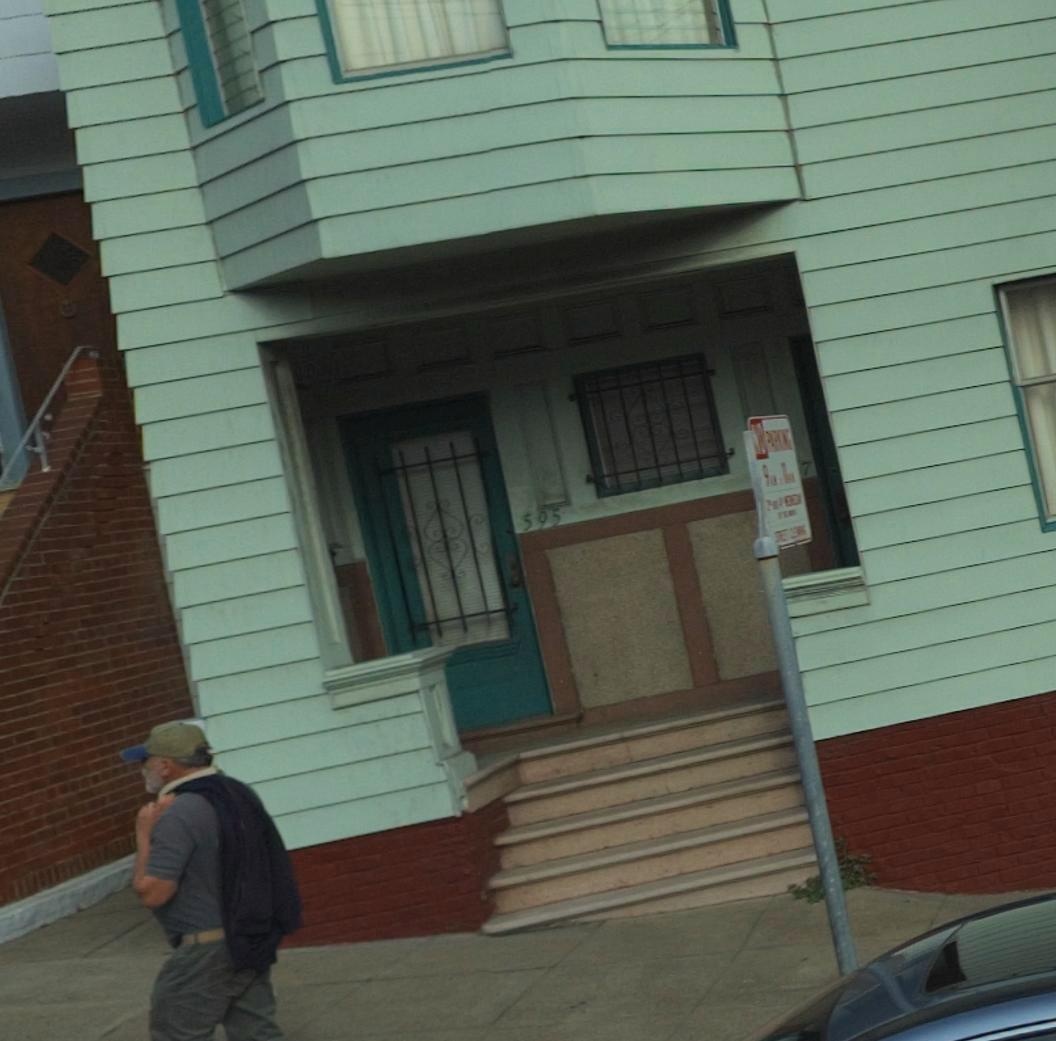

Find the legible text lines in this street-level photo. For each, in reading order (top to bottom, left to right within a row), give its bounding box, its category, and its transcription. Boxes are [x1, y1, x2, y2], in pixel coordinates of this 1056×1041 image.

[750, 422, 794, 454] None: NO PARKING
[760, 463, 779, 488] None: 9A.M.
[777, 478, 783, 485] None: TO
[779, 461, 798, 484] None: 11A.M.
[801, 460, 814, 477] None: 7
[521, 512, 564, 531] StreetNumber: 595
[772, 523, 809, 544] None: STREET CLEANING